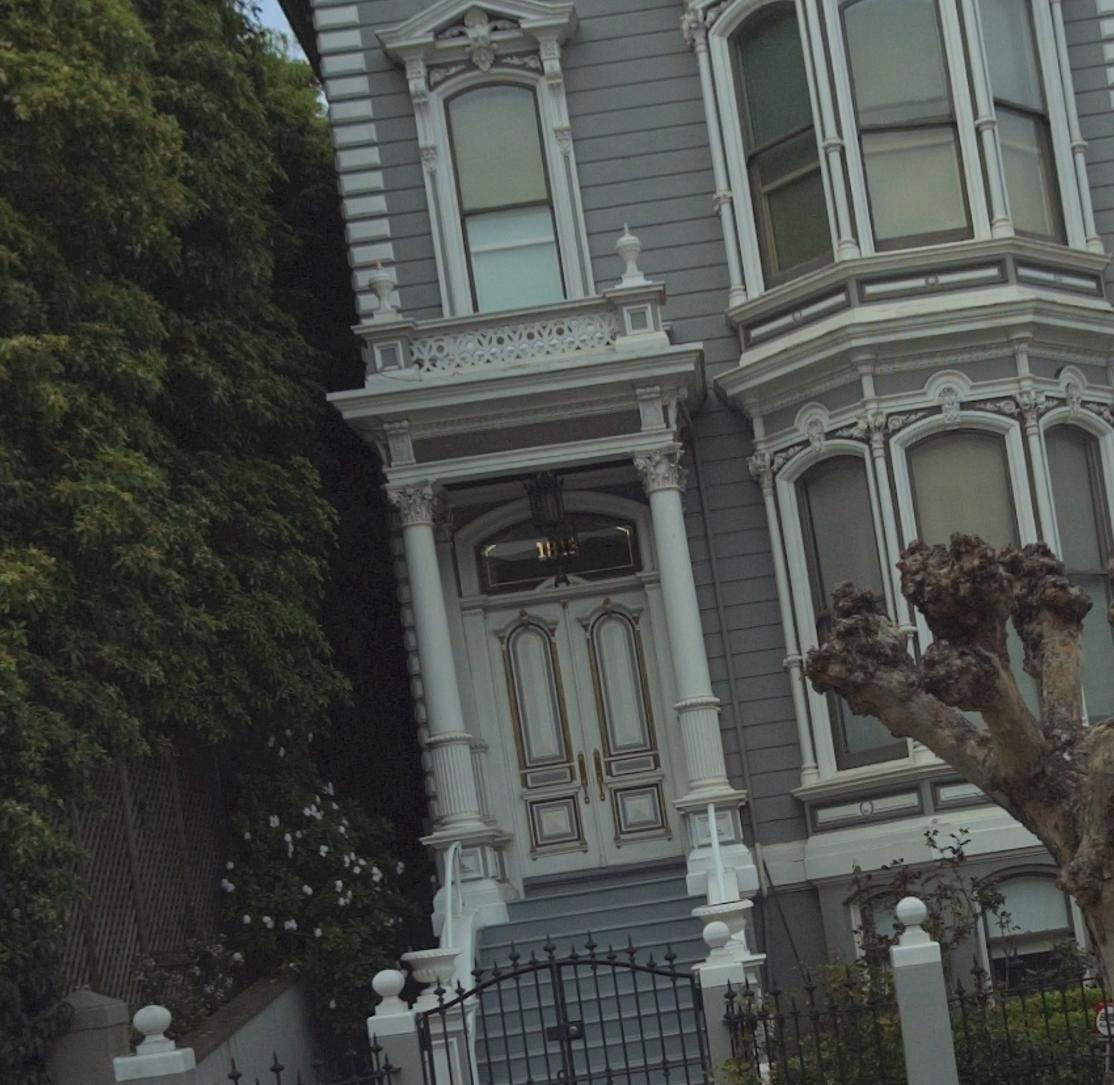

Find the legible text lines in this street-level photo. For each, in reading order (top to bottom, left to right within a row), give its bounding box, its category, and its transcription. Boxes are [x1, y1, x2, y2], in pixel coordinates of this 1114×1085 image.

[533, 535, 581, 560] StreetNumber: 1813